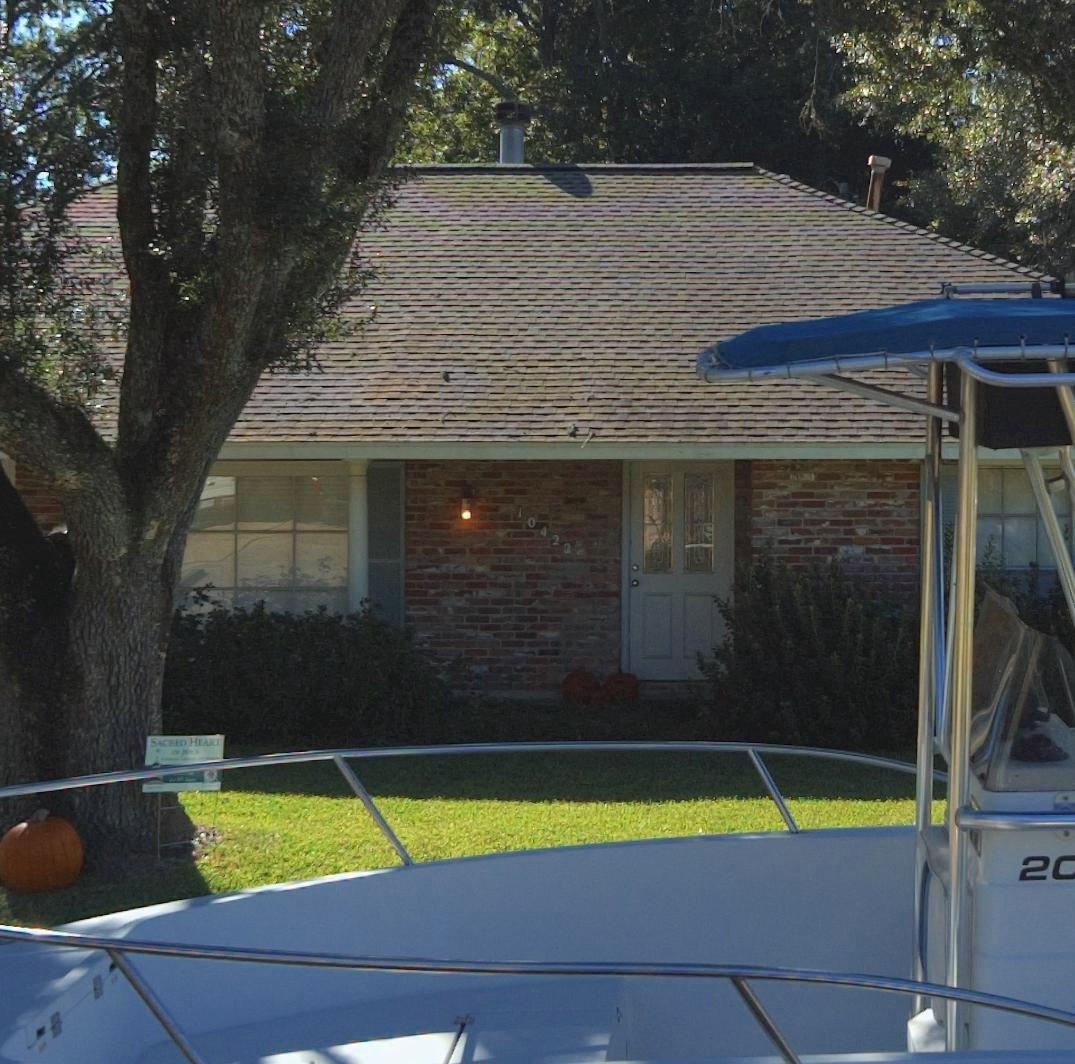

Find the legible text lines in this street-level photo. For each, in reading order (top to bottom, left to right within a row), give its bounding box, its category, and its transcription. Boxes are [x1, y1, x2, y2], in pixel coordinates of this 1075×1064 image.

[516, 506, 574, 557] StreetNumber: 10420
[148, 735, 223, 750] None: SACRED HEART
[1015, 853, 1053, 884] None: 2